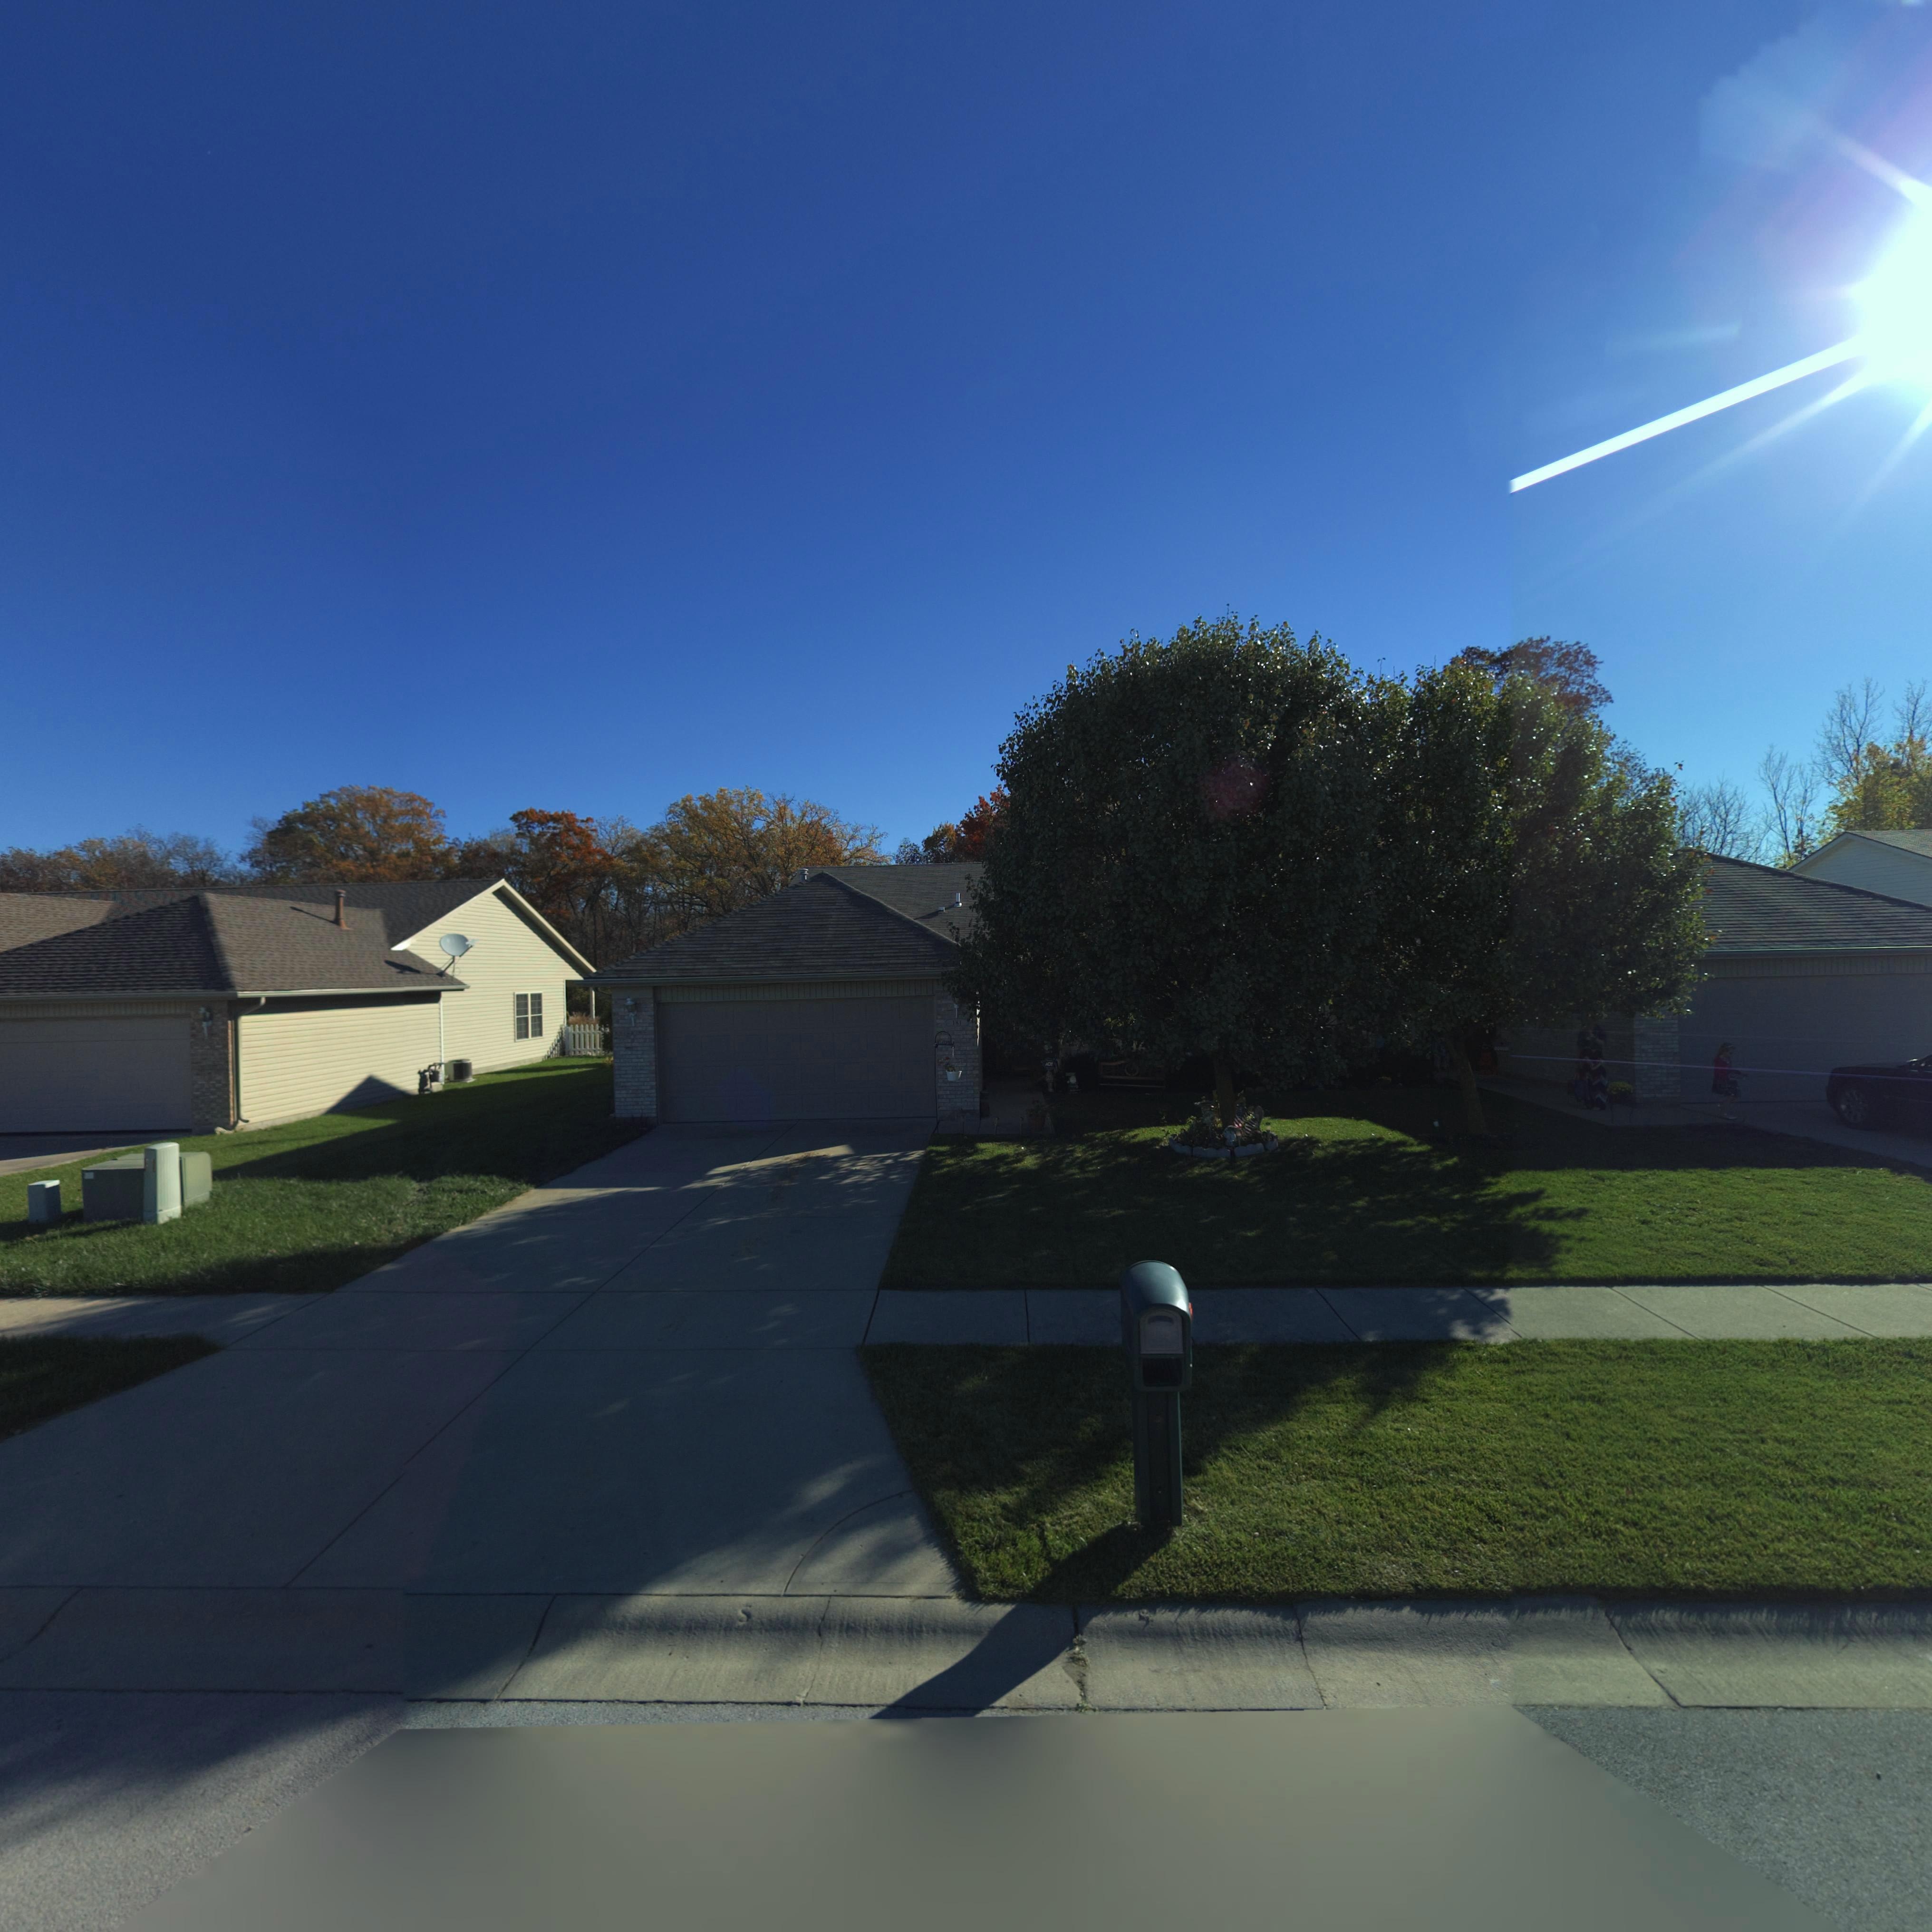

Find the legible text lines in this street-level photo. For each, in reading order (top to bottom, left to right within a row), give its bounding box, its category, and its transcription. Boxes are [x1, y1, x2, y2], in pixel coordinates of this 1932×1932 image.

[951, 1019, 962, 1026] StreetNumber: 181